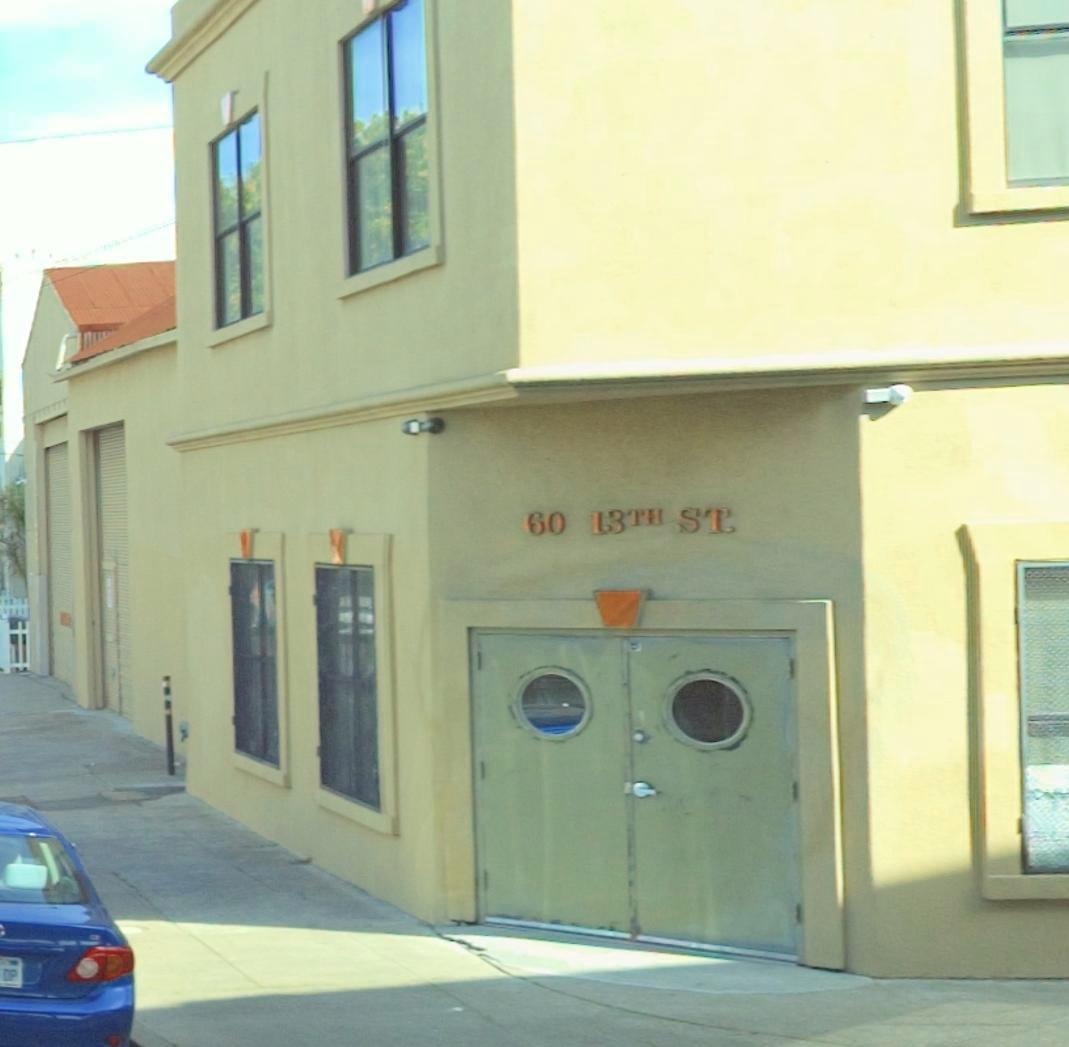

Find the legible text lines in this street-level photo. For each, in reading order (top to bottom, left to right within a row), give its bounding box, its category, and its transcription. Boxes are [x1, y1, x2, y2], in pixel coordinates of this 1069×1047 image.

[522, 506, 570, 542] StreetNumber: 60
[586, 502, 740, 541] StreetName: 13TH ST.